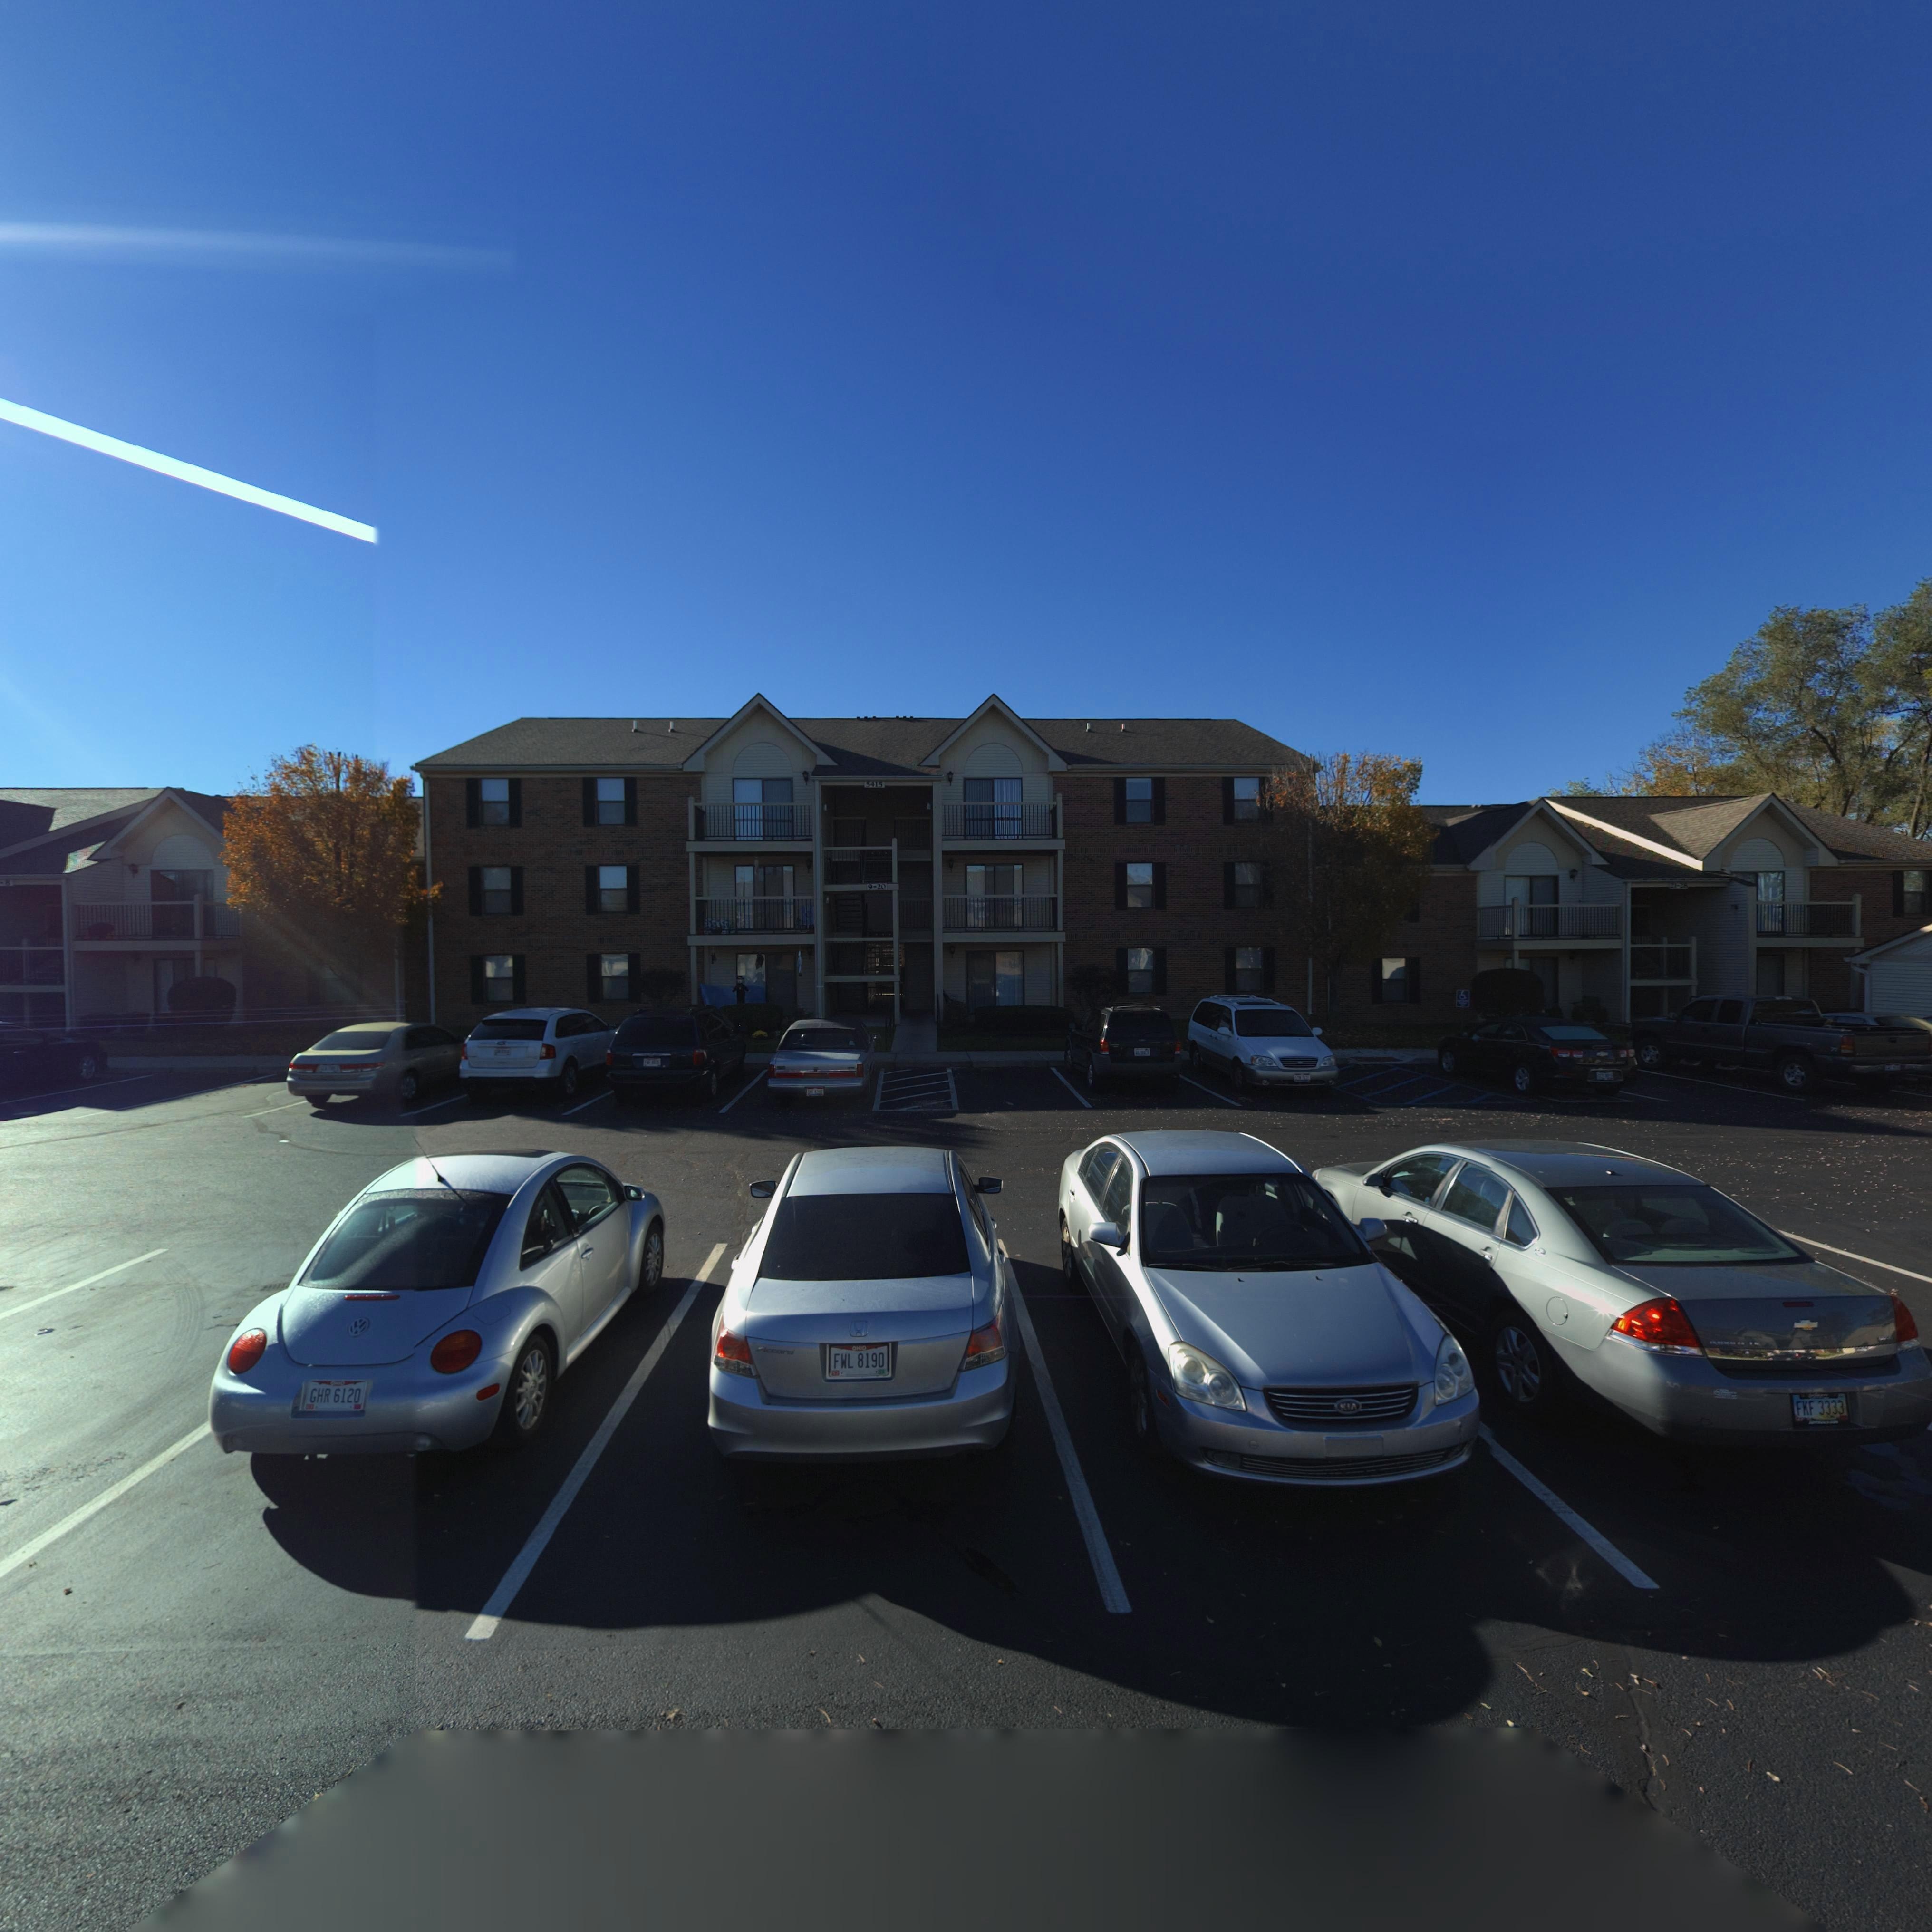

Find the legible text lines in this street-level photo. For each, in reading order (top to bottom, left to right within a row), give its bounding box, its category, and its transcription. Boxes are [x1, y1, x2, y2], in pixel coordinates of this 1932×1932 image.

[866, 780, 883, 787] StreetNumber: 5415
[867, 883, 886, 890] StreetNumber: 9-20
[1669, 881, 1689, 889] StreetNumber: 21-28